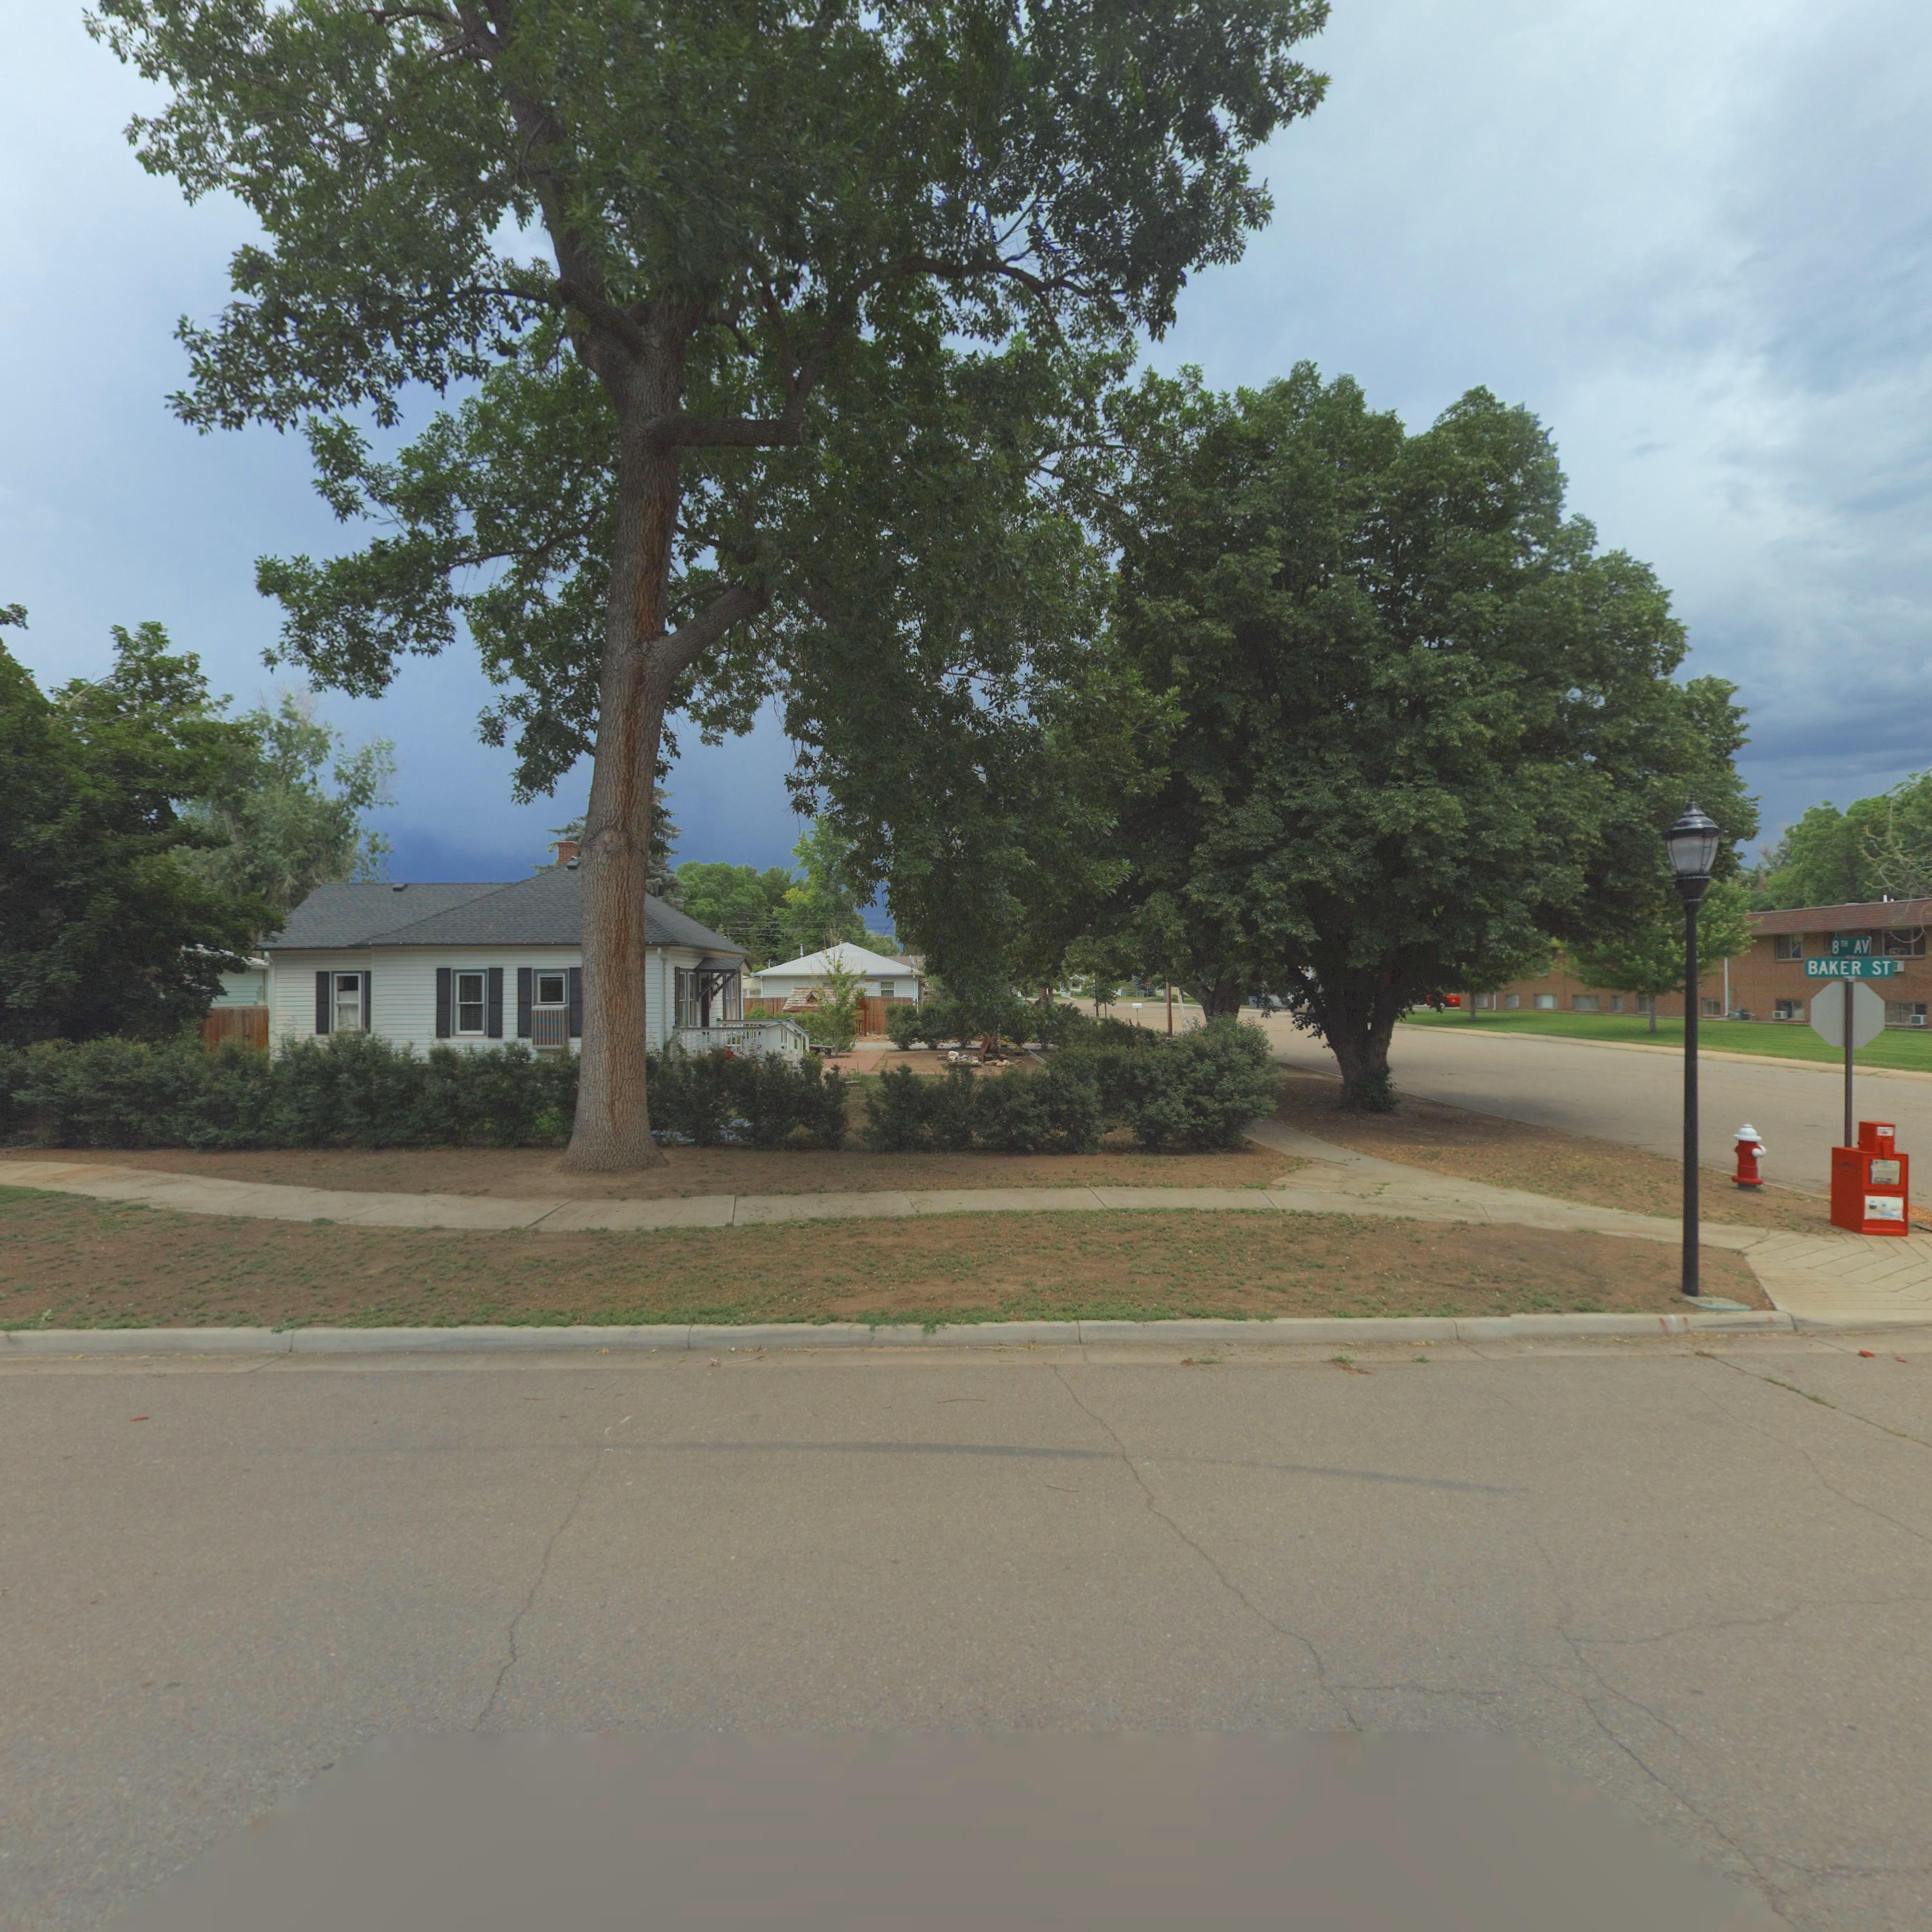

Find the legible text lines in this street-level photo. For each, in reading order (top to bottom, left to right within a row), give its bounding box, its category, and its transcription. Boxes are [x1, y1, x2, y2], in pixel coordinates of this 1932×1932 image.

[1831, 939, 1870, 954] StreetName: 8TH AV
[1807, 960, 1891, 976] StreetName: BAKER ST